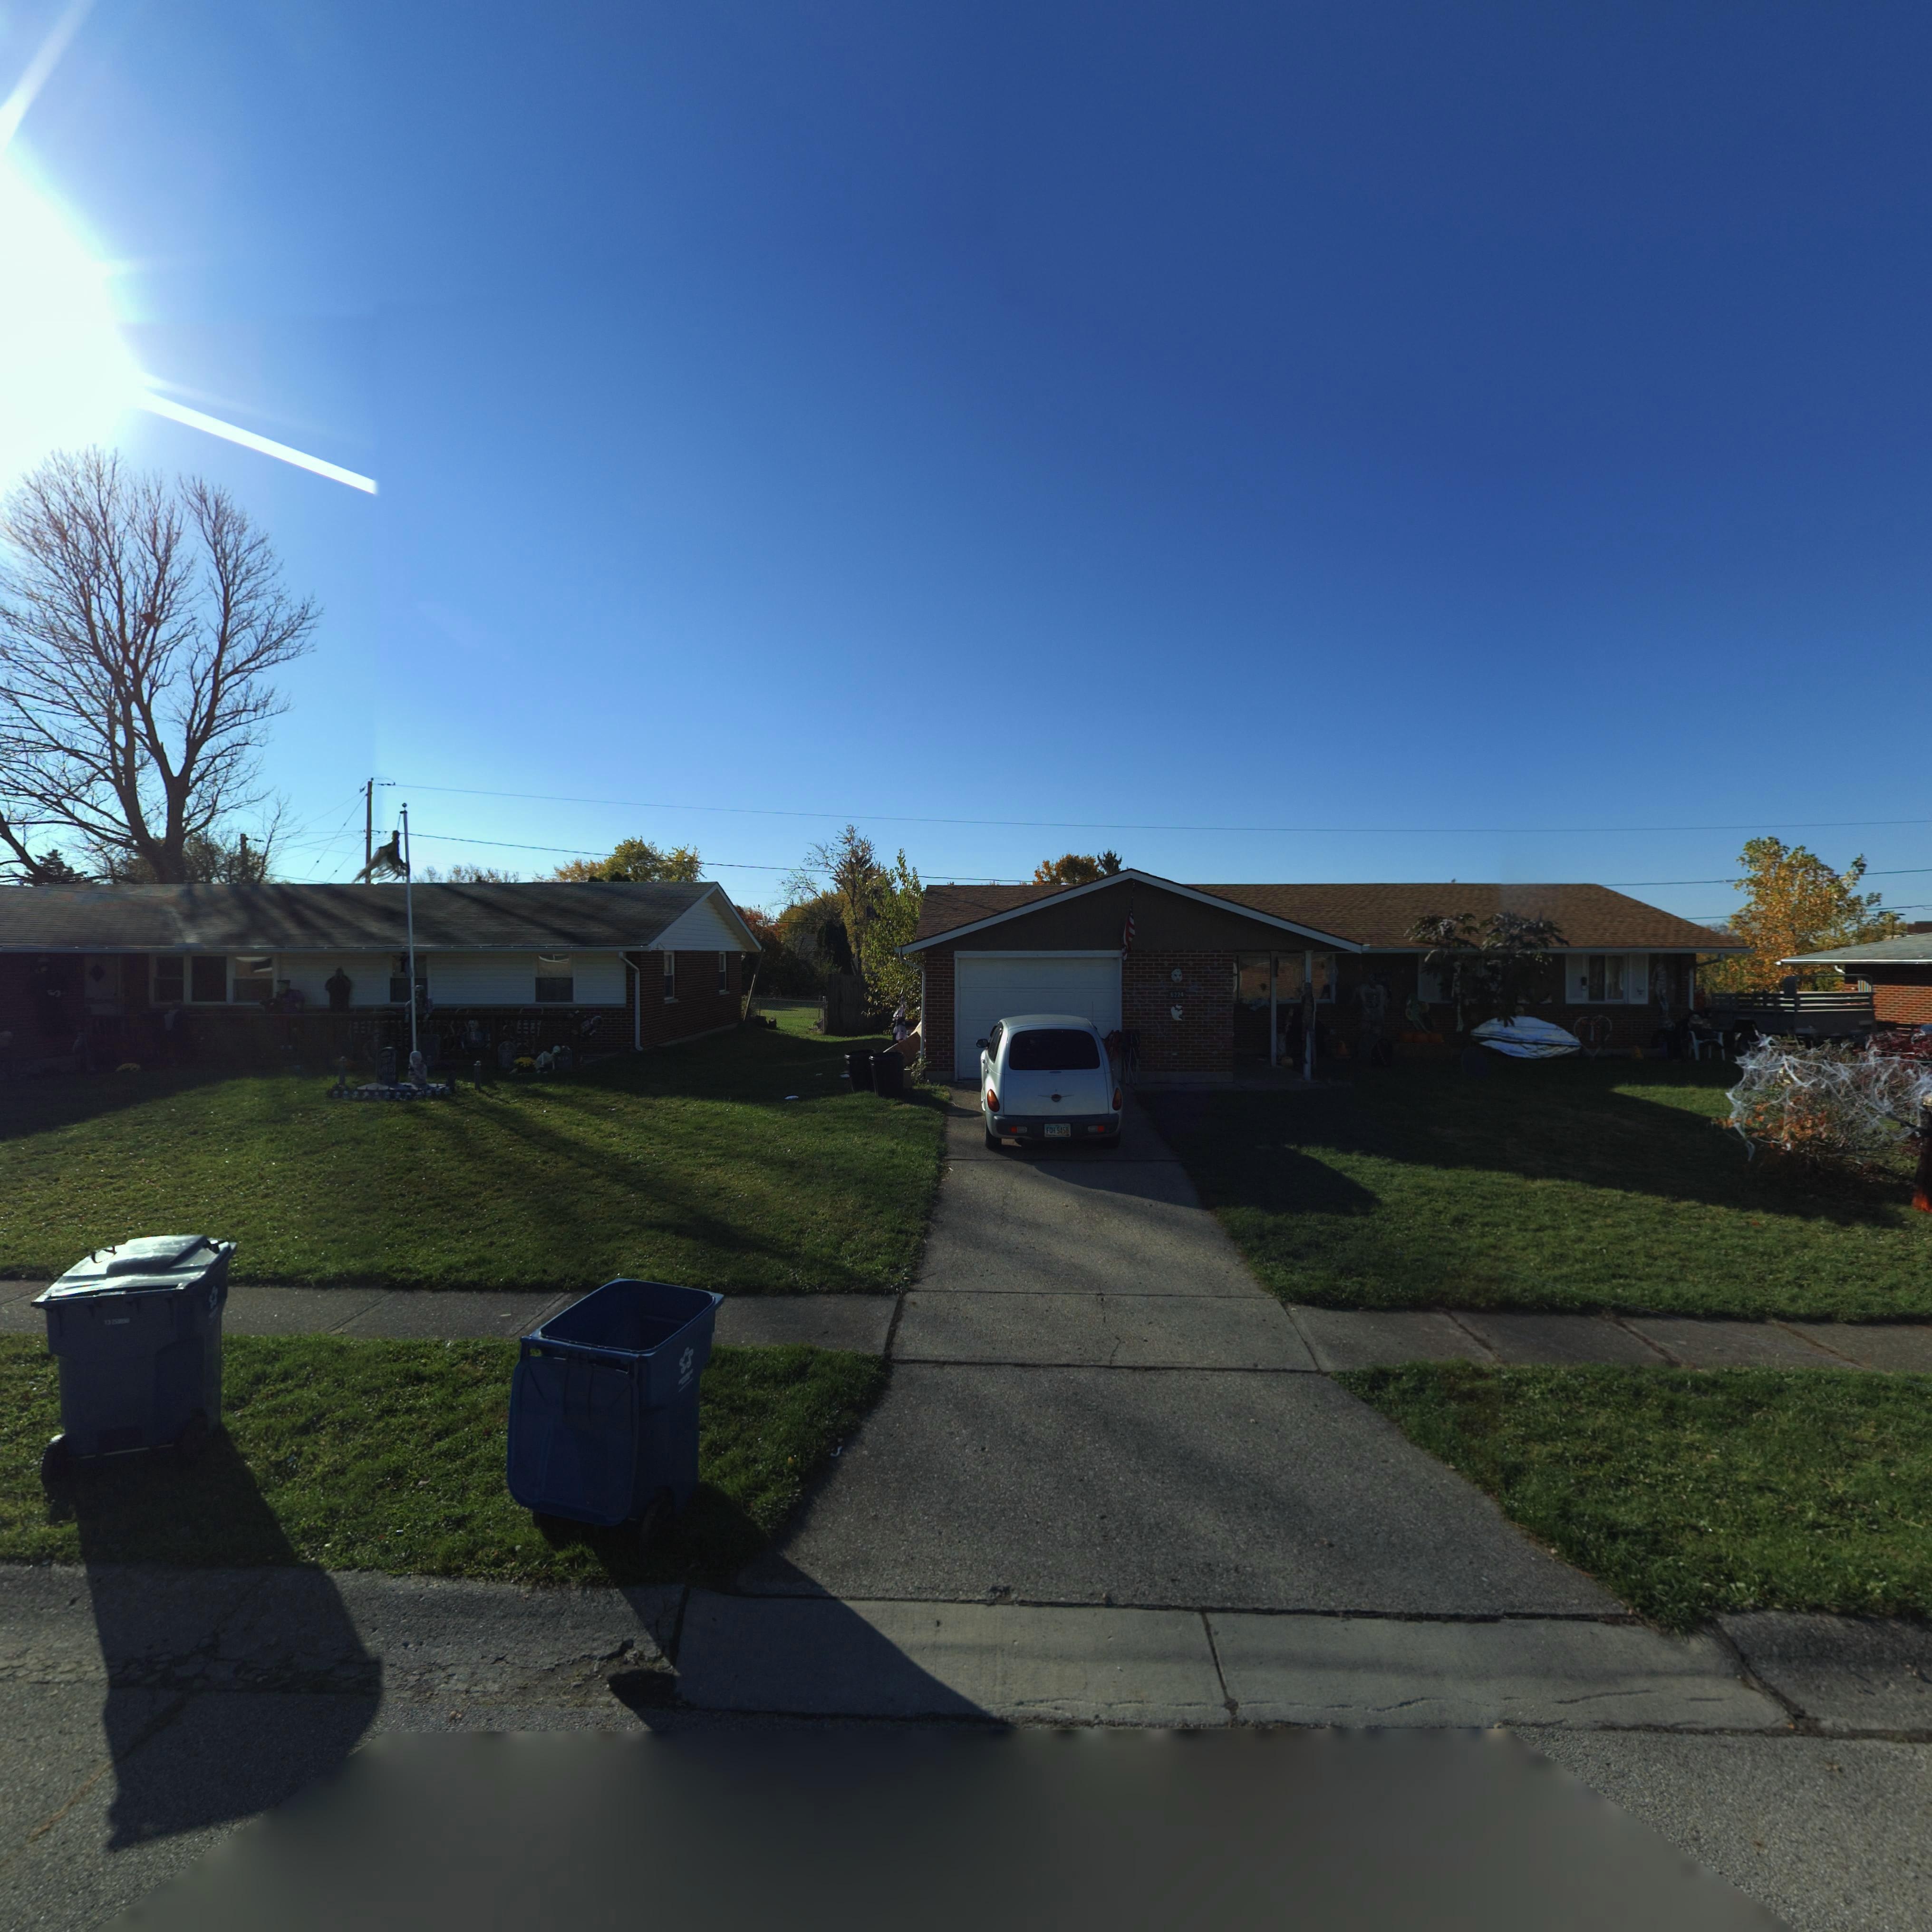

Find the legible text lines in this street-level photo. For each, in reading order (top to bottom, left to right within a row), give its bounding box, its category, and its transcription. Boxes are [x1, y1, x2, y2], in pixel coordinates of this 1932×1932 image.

[1170, 992, 1184, 997] StreetNumber: 6224